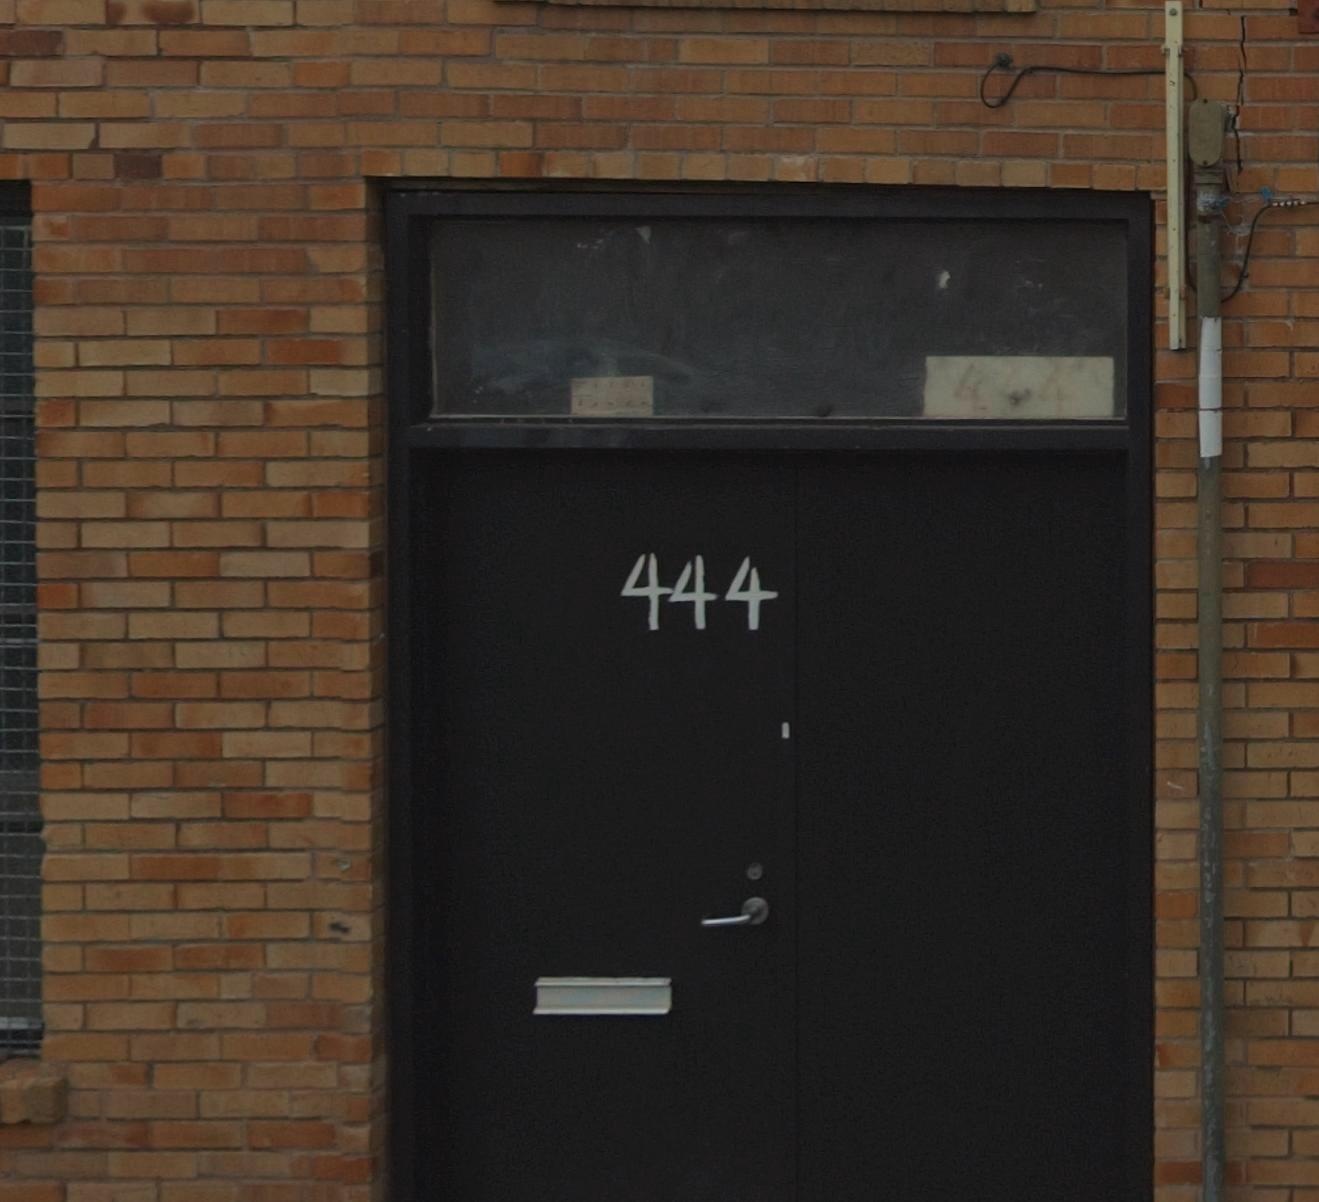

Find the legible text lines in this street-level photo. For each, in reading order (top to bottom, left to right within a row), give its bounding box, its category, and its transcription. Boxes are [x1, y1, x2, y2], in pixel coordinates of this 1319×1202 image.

[615, 550, 778, 634] StreetNumber: 444